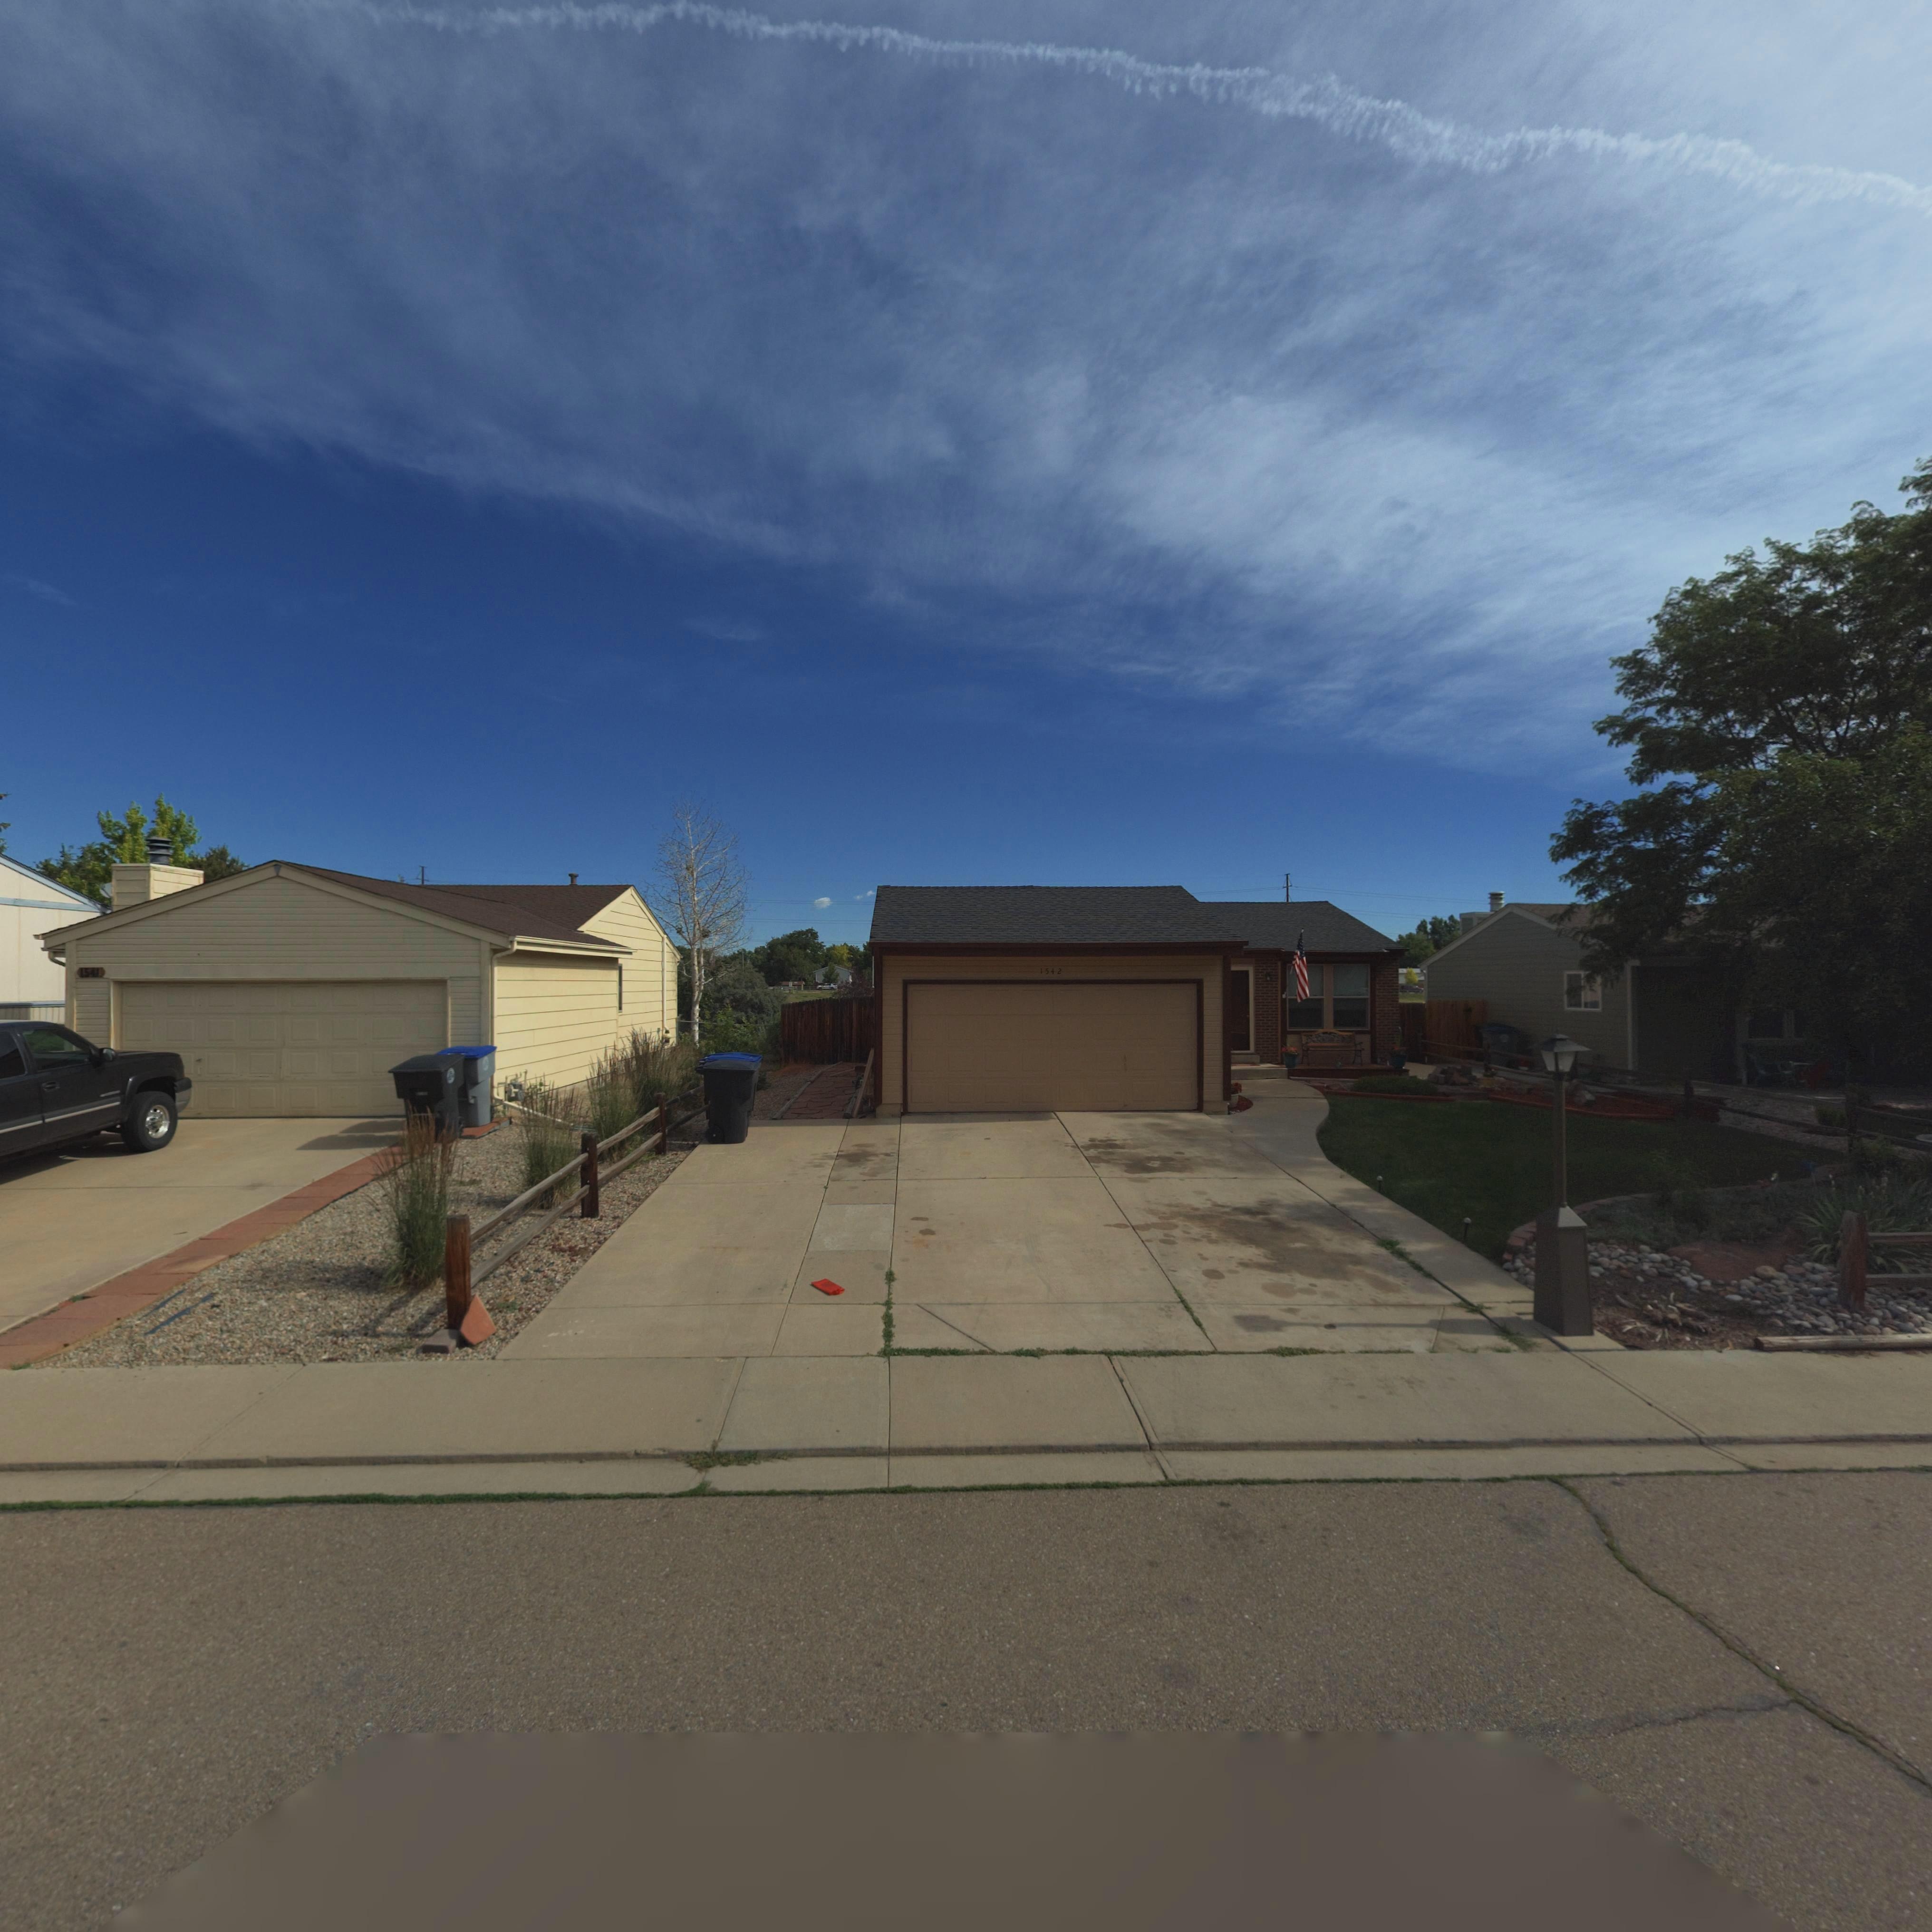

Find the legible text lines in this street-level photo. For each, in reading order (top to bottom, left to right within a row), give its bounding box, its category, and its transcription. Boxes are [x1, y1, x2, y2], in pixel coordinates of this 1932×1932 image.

[79, 966, 100, 978] StreetNumber: 154*
[1040, 967, 1062, 974] StreetNumber: 1542